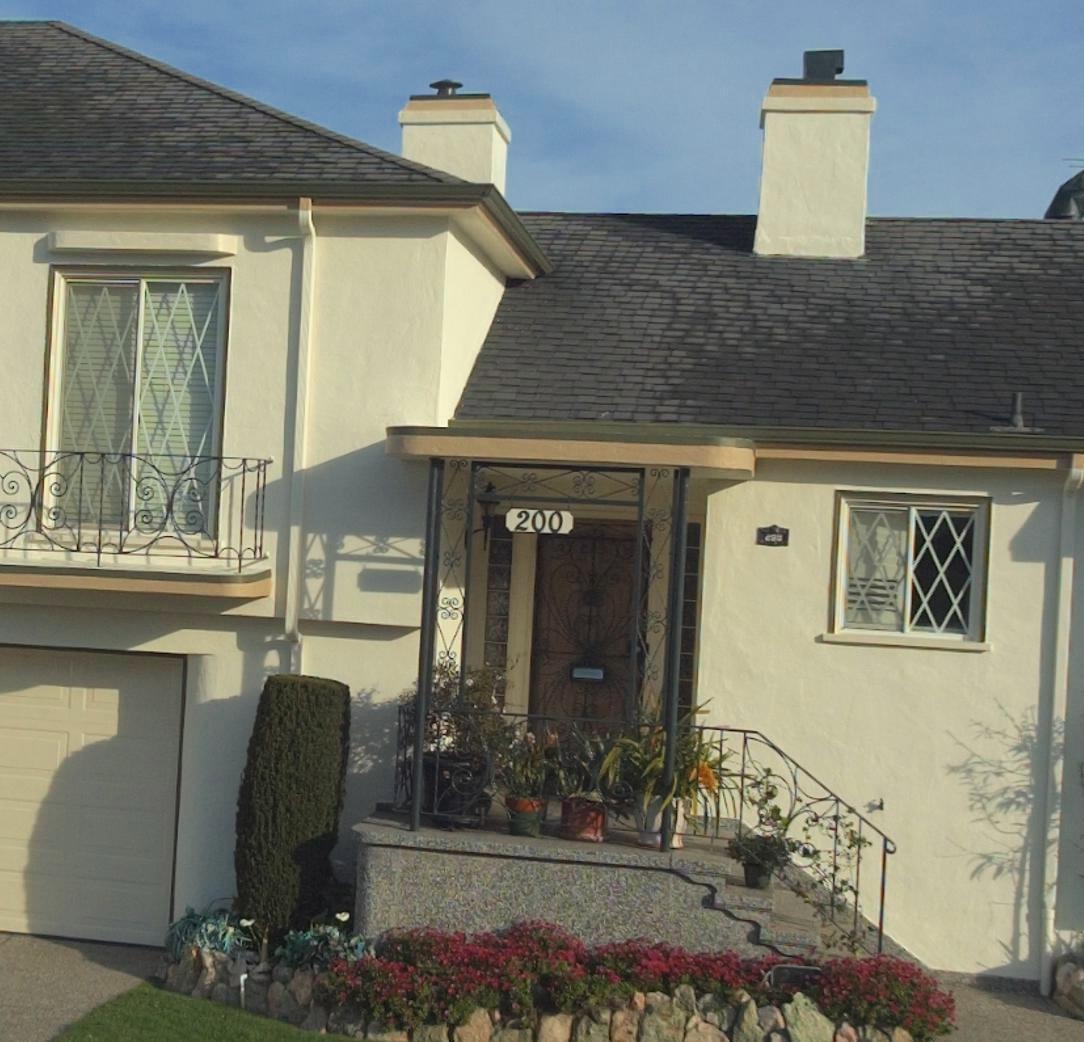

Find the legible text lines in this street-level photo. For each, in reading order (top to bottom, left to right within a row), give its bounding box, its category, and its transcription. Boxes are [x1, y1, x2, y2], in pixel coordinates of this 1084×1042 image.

[511, 508, 567, 535] StreetNumber: 200